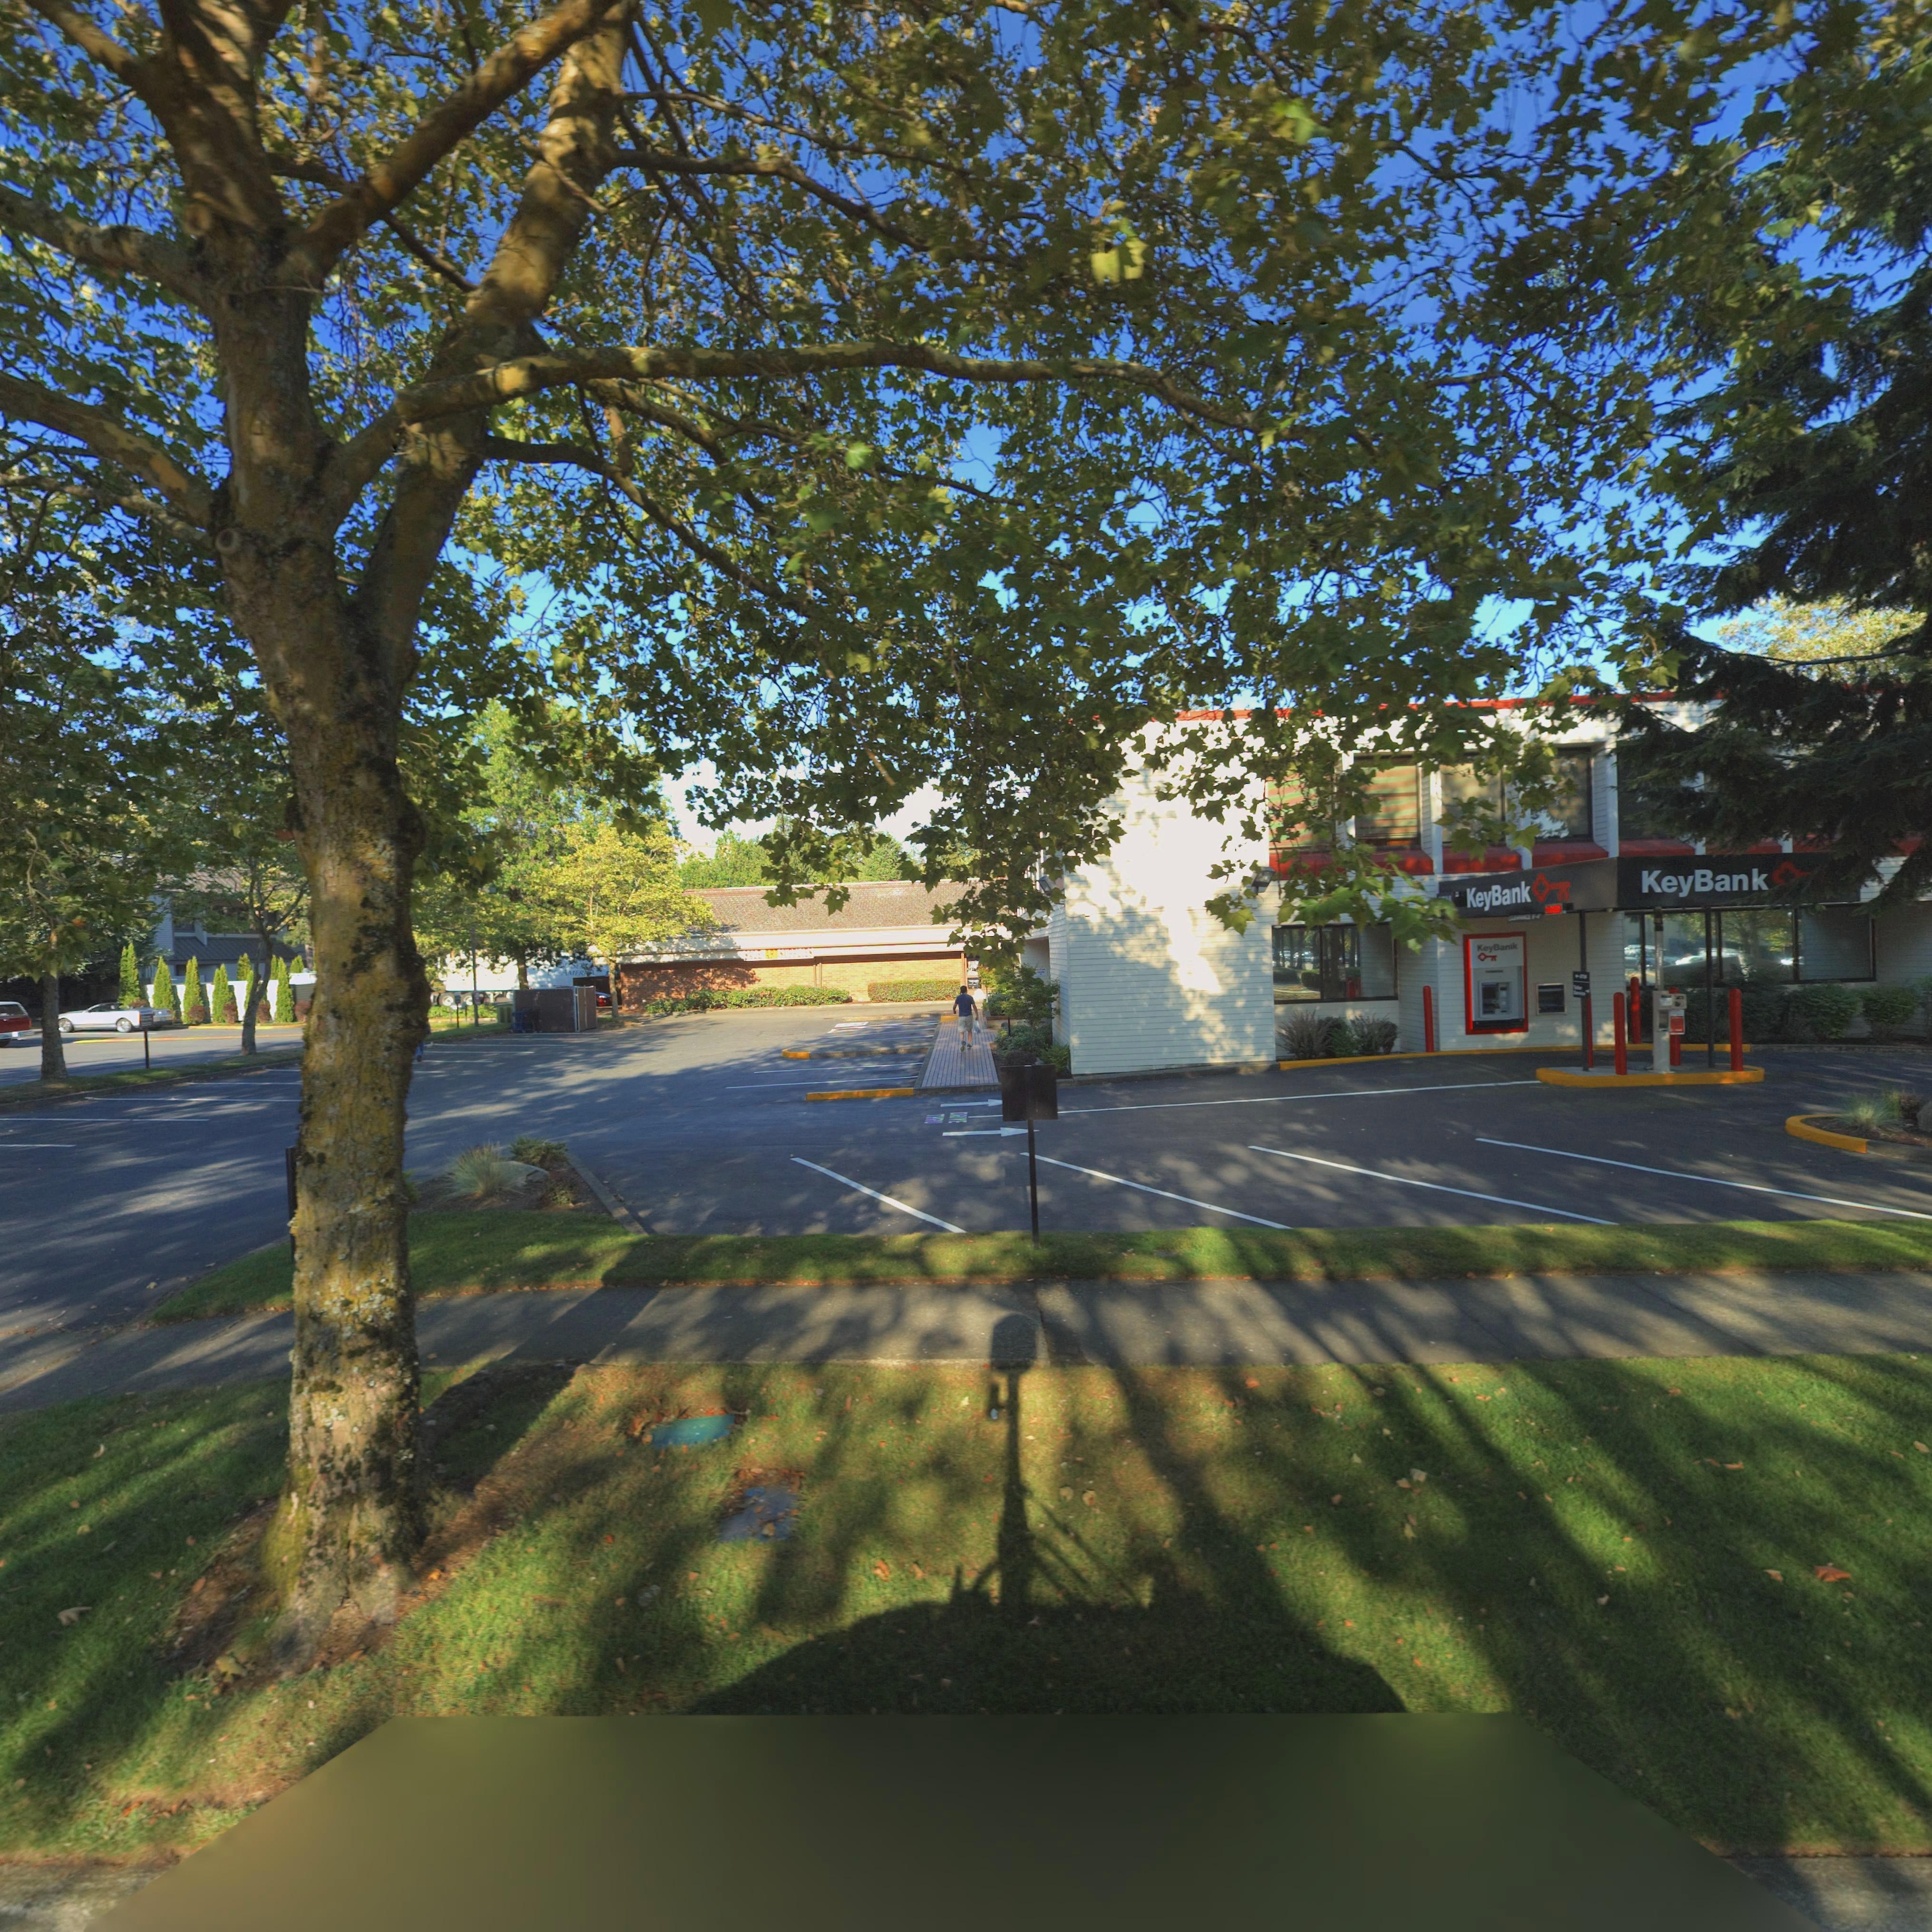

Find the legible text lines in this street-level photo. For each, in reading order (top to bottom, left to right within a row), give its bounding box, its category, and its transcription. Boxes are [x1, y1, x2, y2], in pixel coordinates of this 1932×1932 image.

[1640, 866, 1774, 900] BusinessName: KeyBank
[1475, 941, 1519, 955] BusinessName: KeyBank